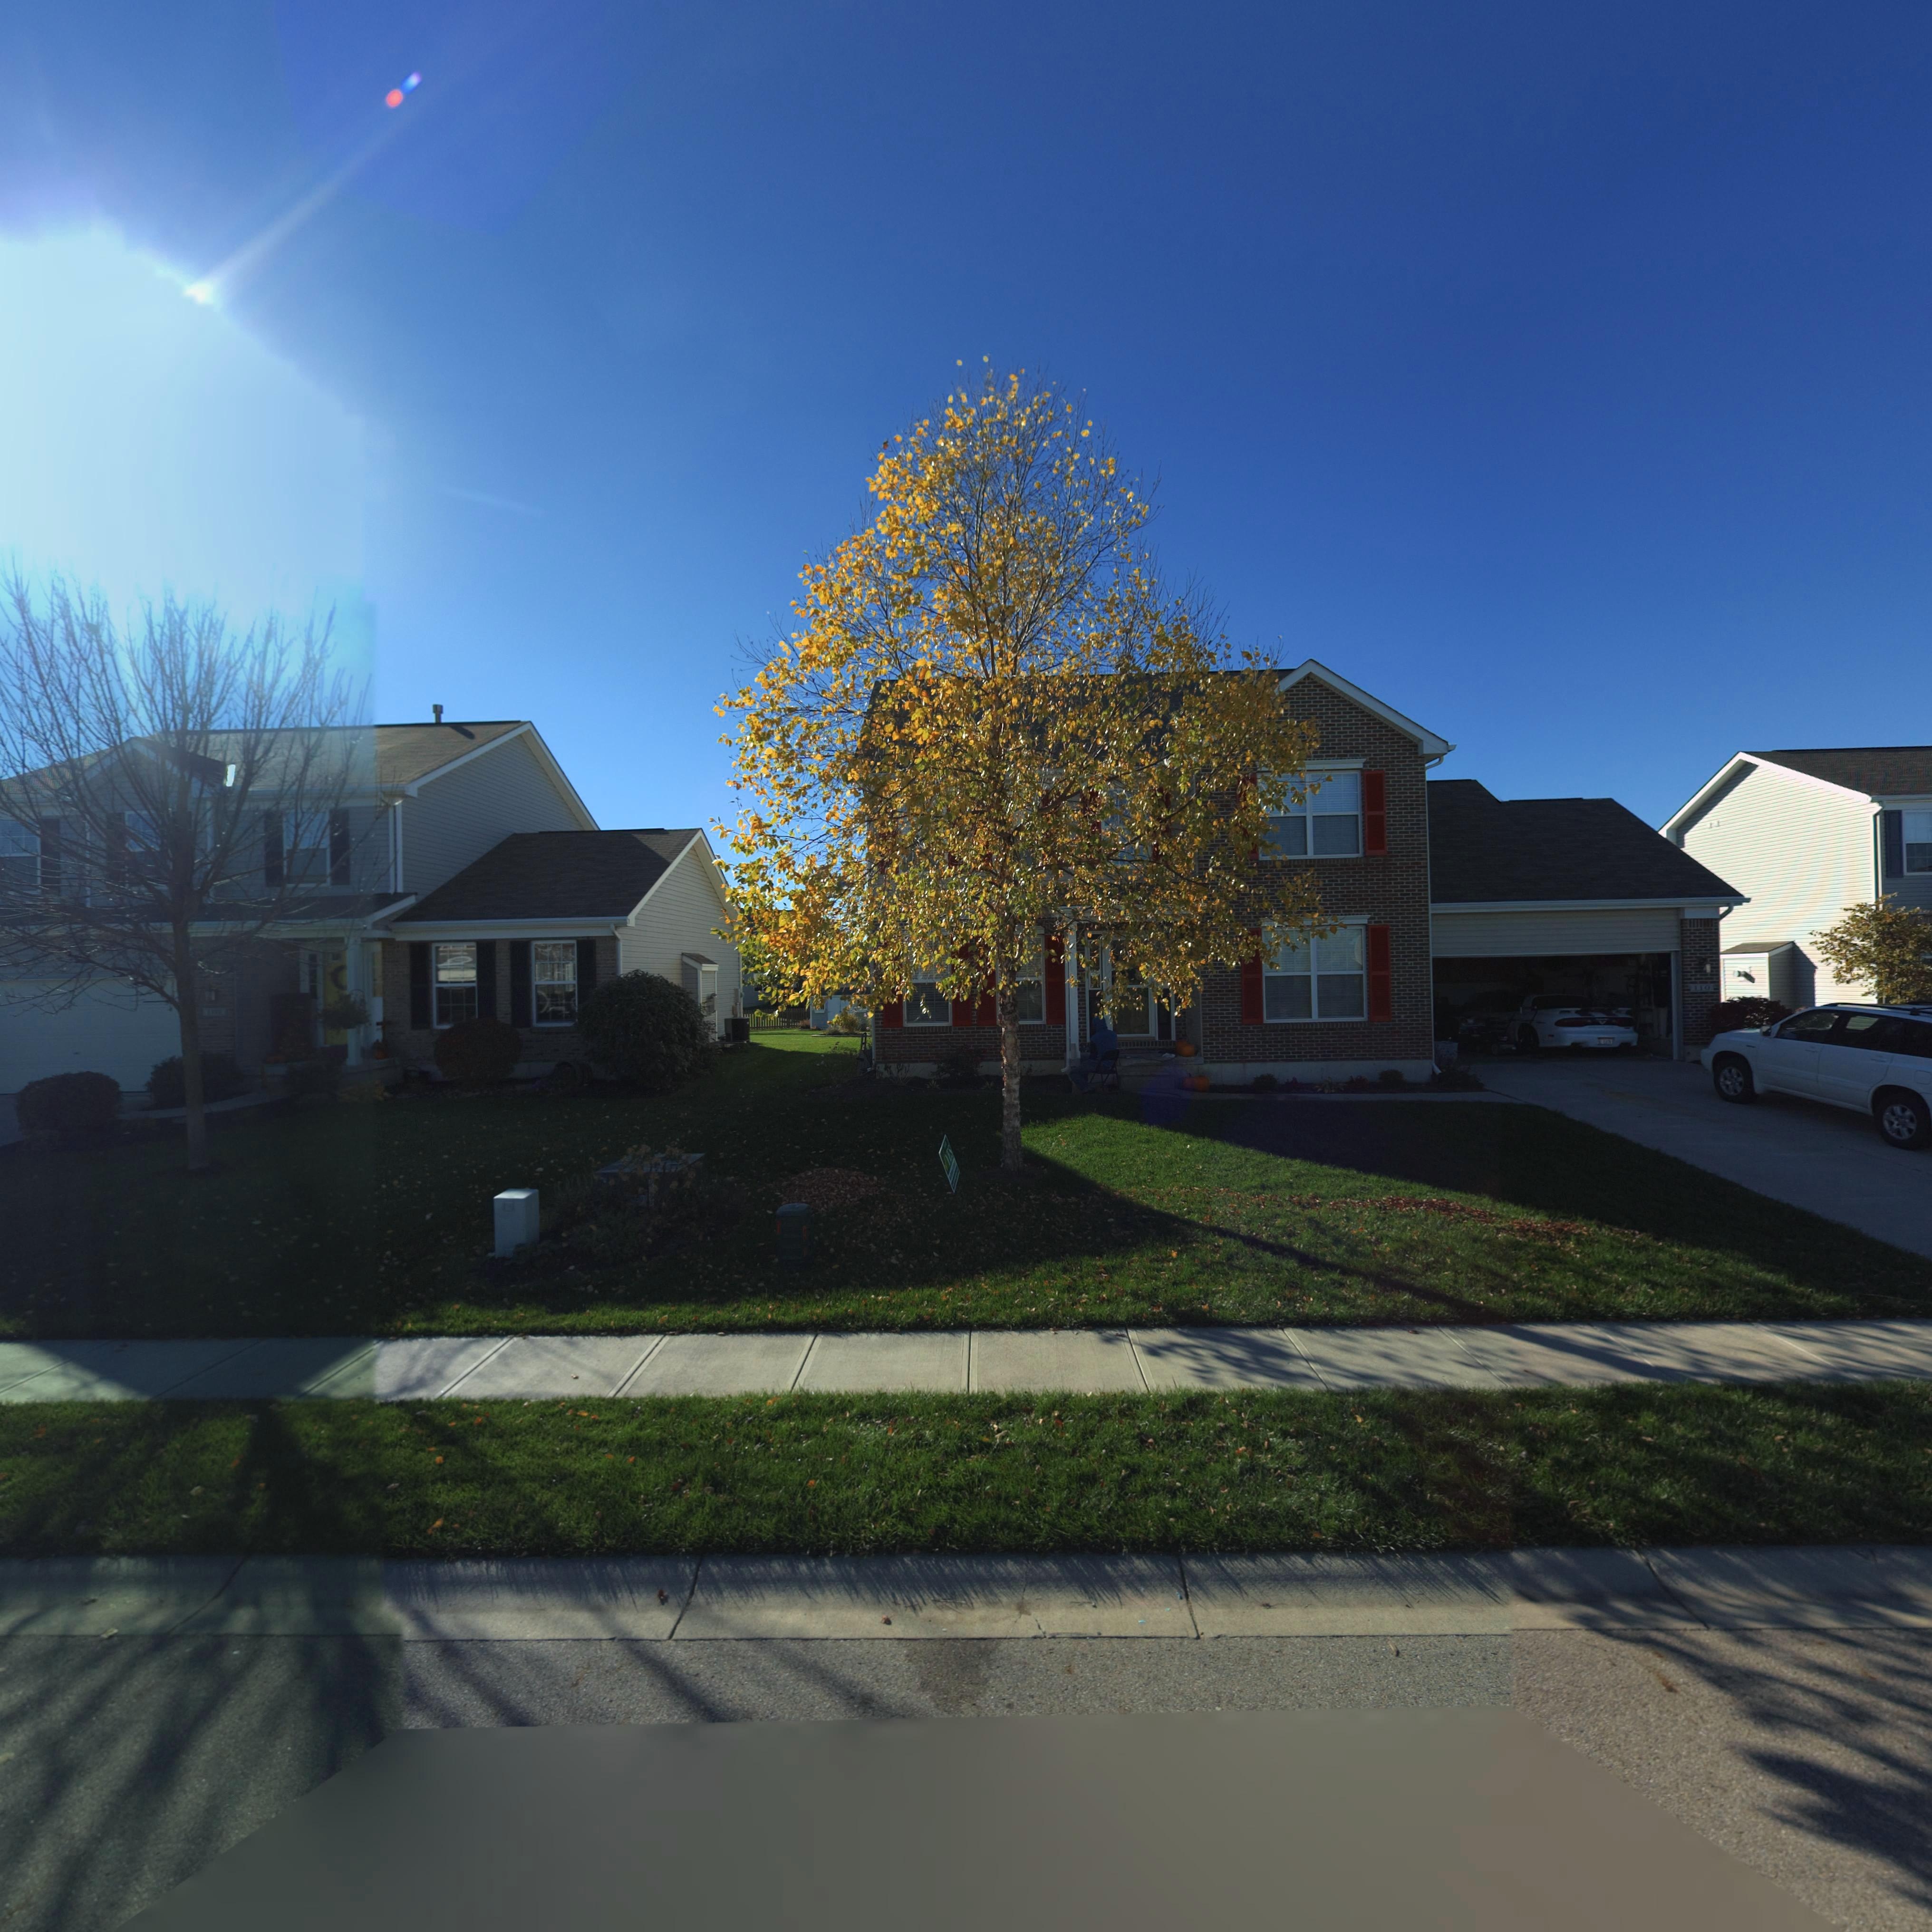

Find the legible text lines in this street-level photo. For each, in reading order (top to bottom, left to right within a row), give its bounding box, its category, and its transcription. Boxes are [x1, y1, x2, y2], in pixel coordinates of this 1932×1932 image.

[1693, 984, 1710, 992] StreetNumber: 110